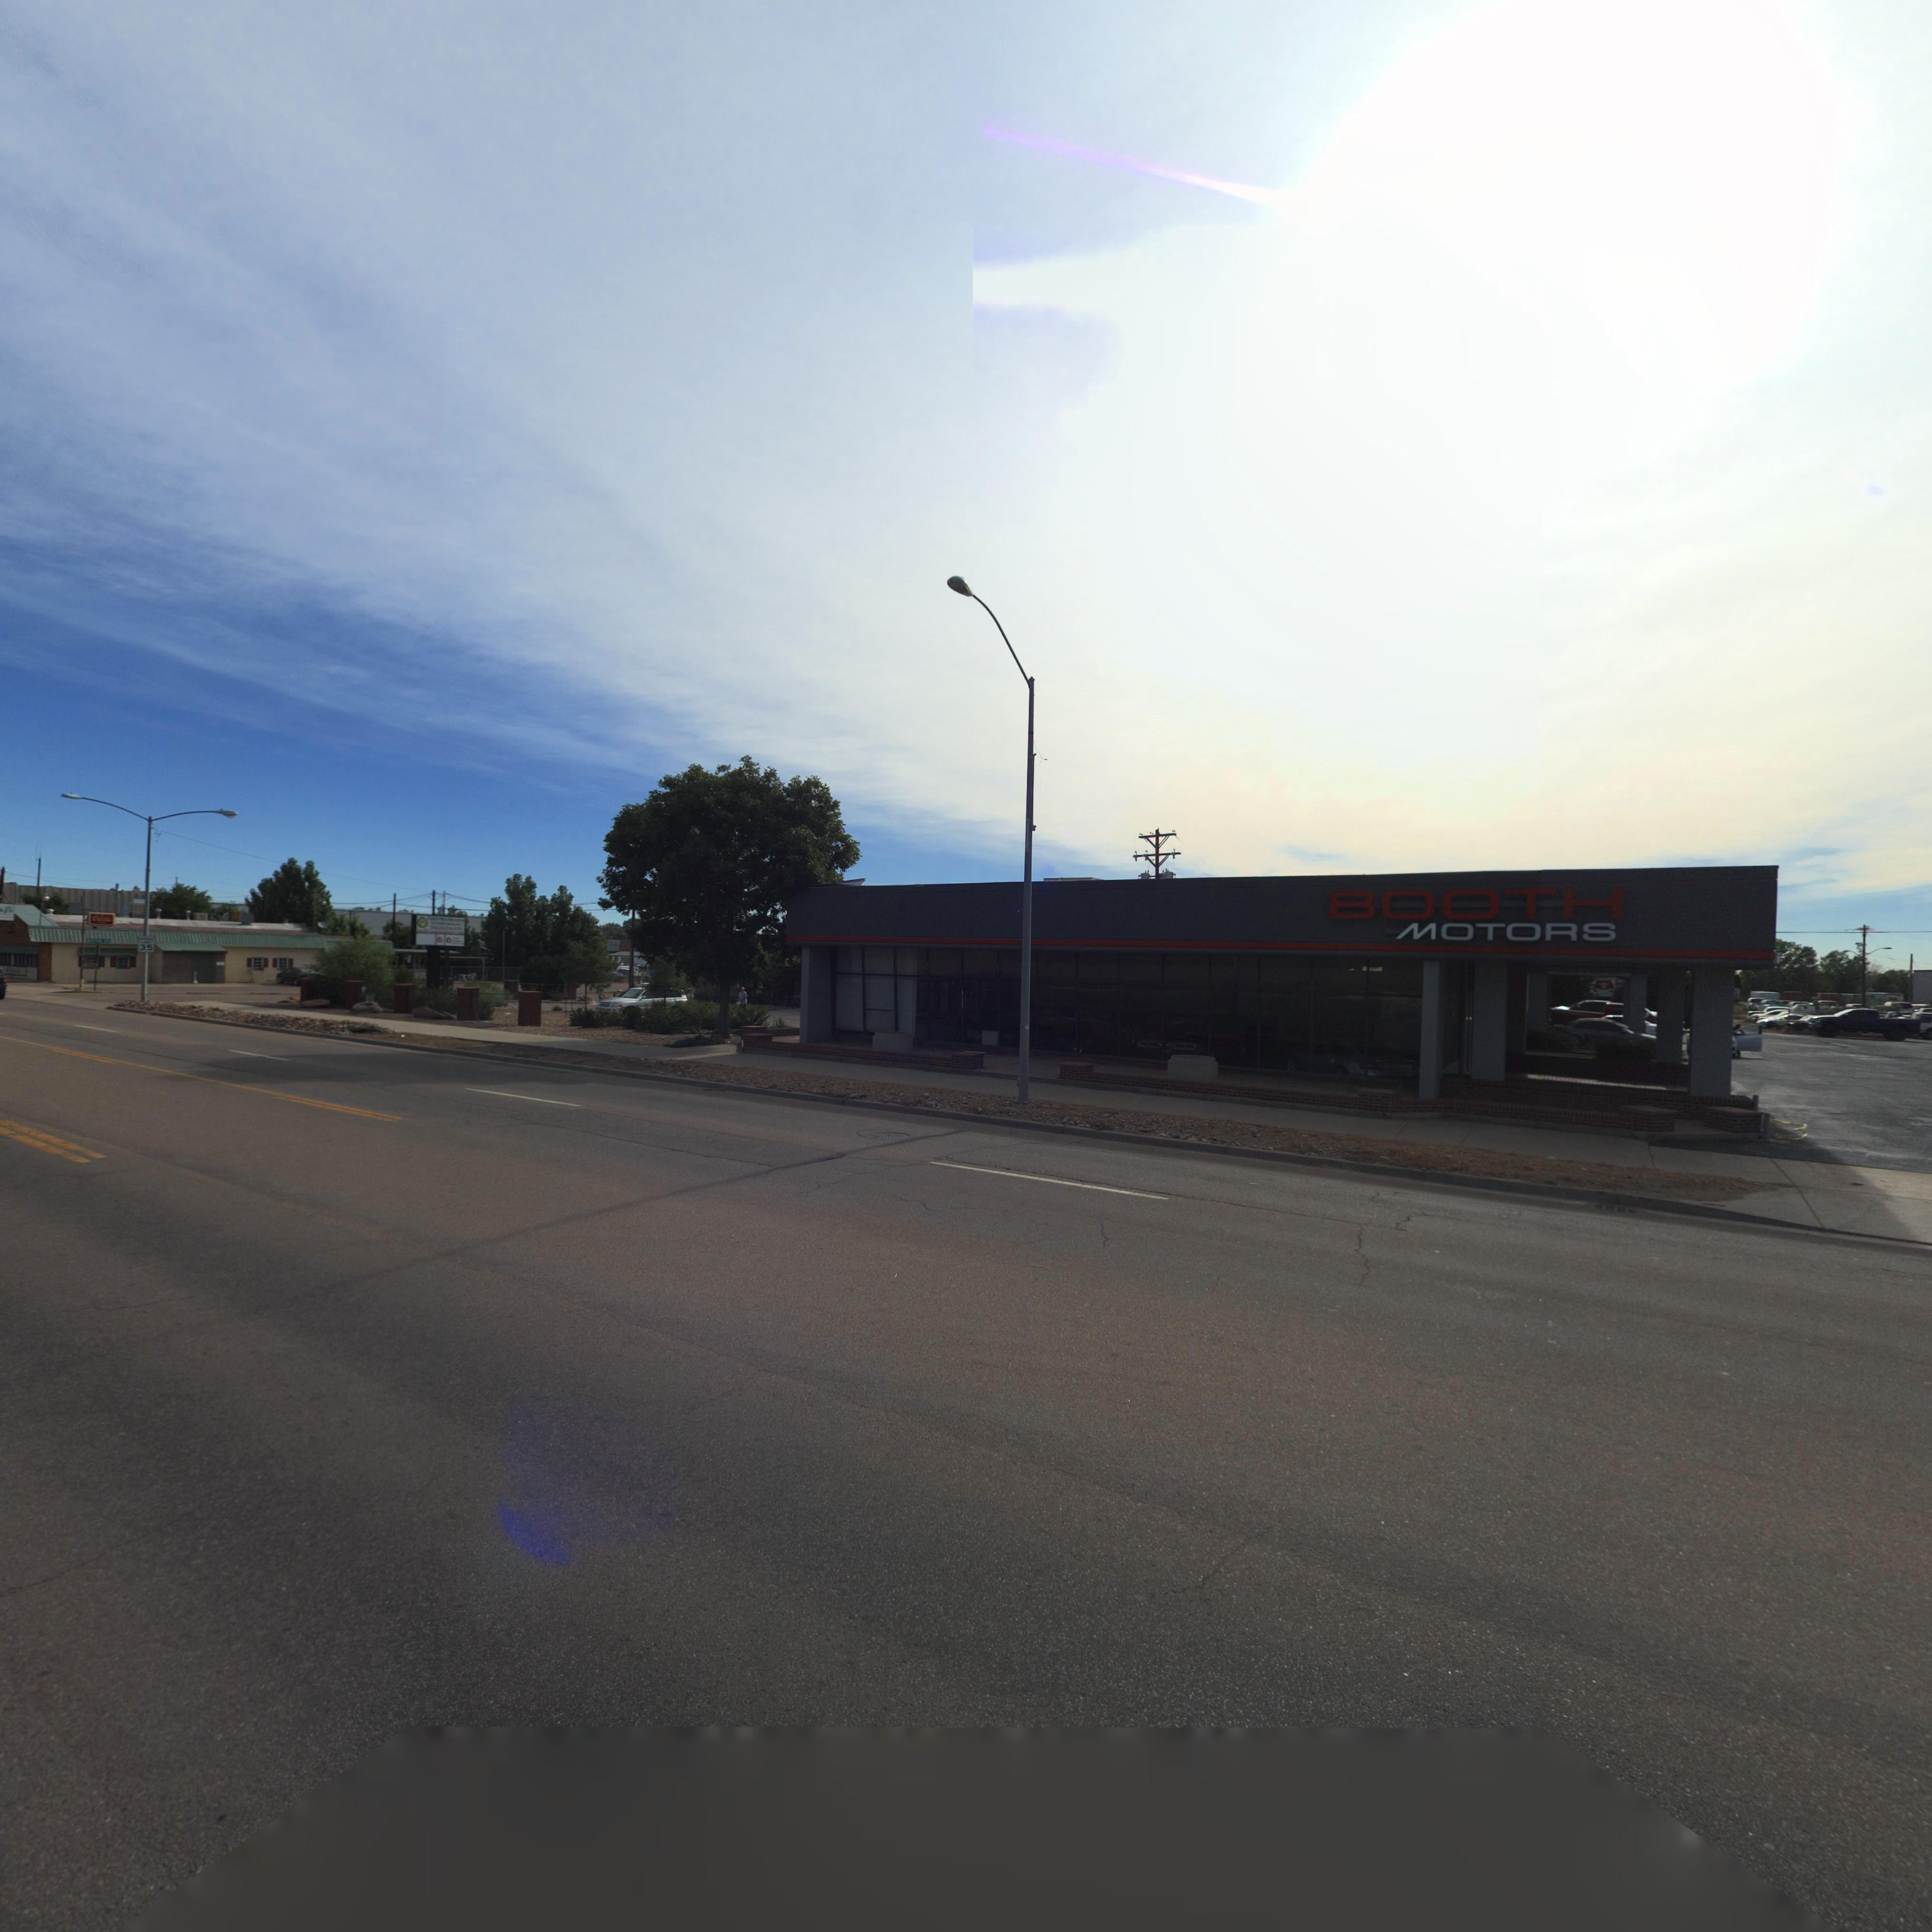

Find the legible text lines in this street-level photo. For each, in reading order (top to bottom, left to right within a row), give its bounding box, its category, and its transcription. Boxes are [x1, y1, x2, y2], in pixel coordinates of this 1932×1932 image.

[1328, 885, 1623, 920] BusinessName: BOOTH
[1395, 922, 1616, 941] BusinessName: MOTORS